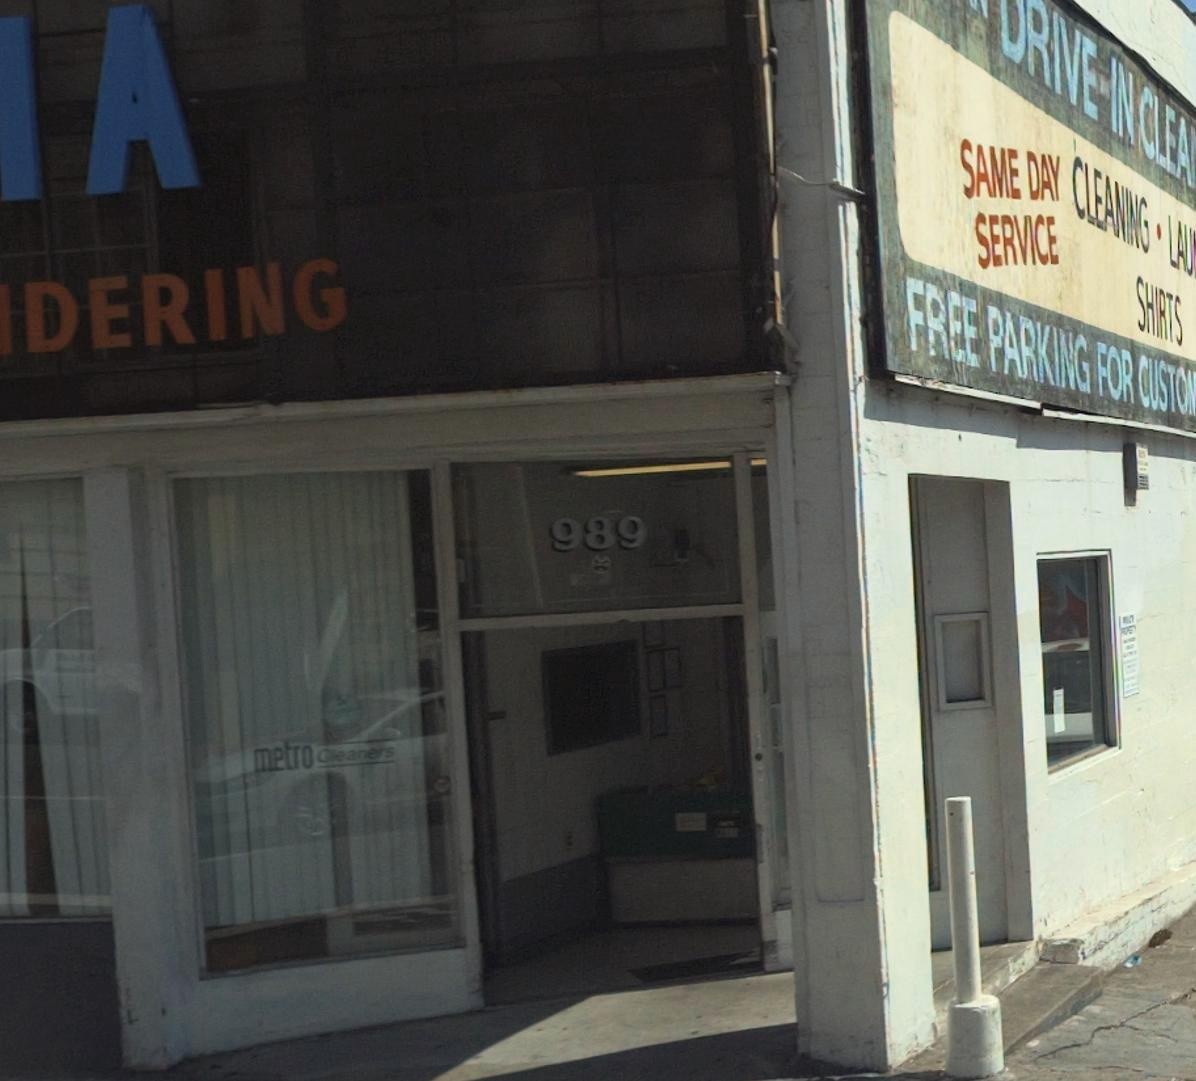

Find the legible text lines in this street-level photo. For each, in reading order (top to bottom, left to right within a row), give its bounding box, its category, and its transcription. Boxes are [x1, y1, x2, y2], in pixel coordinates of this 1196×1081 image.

[77, 0, 212, 205] None: A
[1051, 5, 1191, 188] None: IVE IN CLEA
[956, 134, 1063, 203] None: SAME DAY
[969, 211, 1063, 271] None: SERVICE
[1070, 150, 1155, 258] None: CLEANING
[1165, 210, 1188, 275] None: LA
[18, 253, 355, 357] None: DERING
[902, 267, 1179, 416] None: FREE PARKING FOR CUST
[1133, 274, 1187, 348] None: SHIRTS
[546, 512, 650, 554] StreetNumber: 989
[253, 738, 317, 773] BusinessName: metro
[317, 744, 398, 764] BusinessName: Cleaners